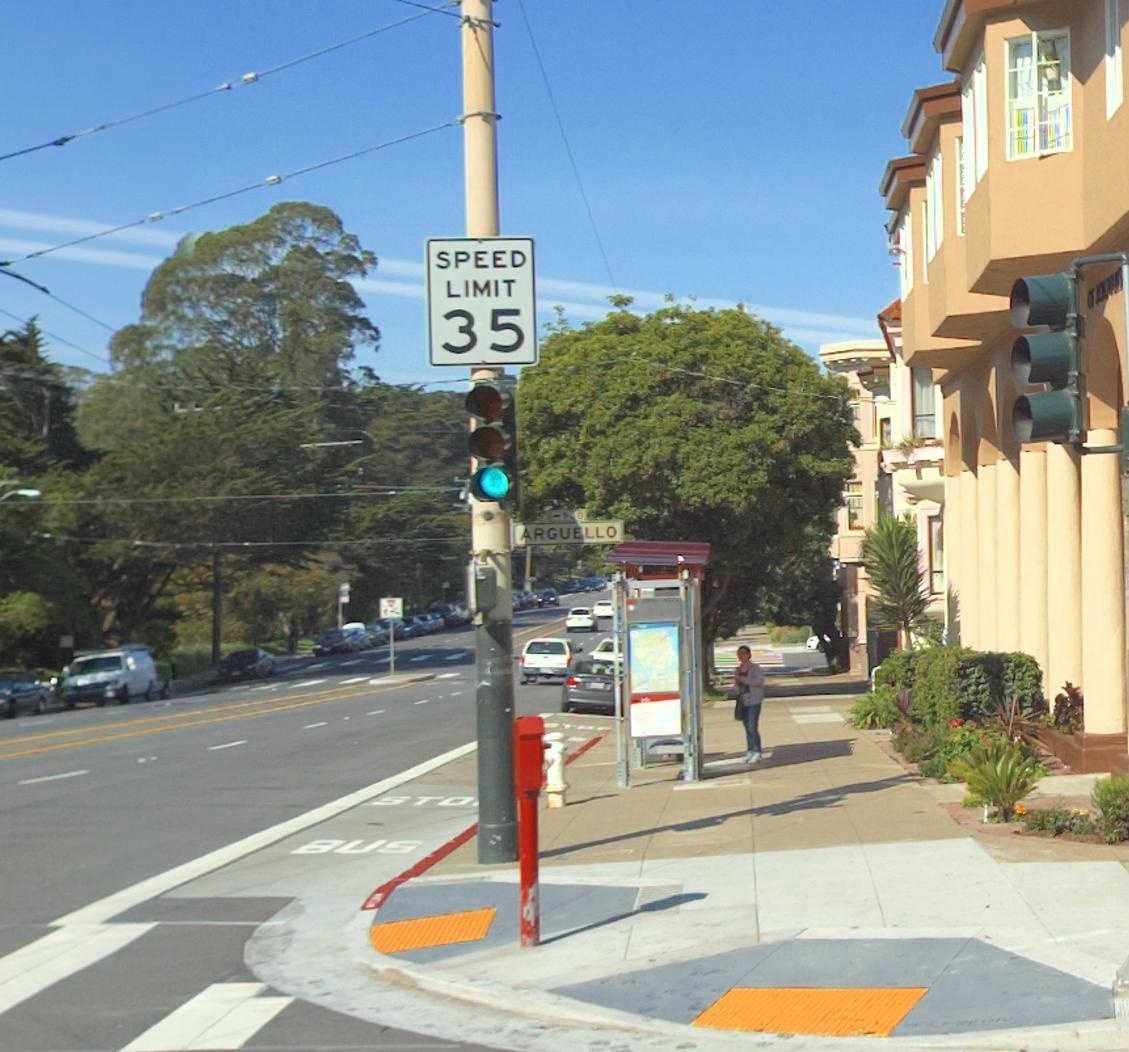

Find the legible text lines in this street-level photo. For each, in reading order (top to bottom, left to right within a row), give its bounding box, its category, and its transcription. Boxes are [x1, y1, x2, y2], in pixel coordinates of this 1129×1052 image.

[434, 248, 525, 268] None: SPEED
[444, 275, 516, 298] None: LIMIT
[441, 306, 523, 353] None: 35
[550, 510, 583, 521] StreetNumberRange: <-900
[519, 524, 618, 541] StreetName: ARGUELLO
[367, 791, 477, 810] None: STO
[283, 836, 427, 858] None: BUS